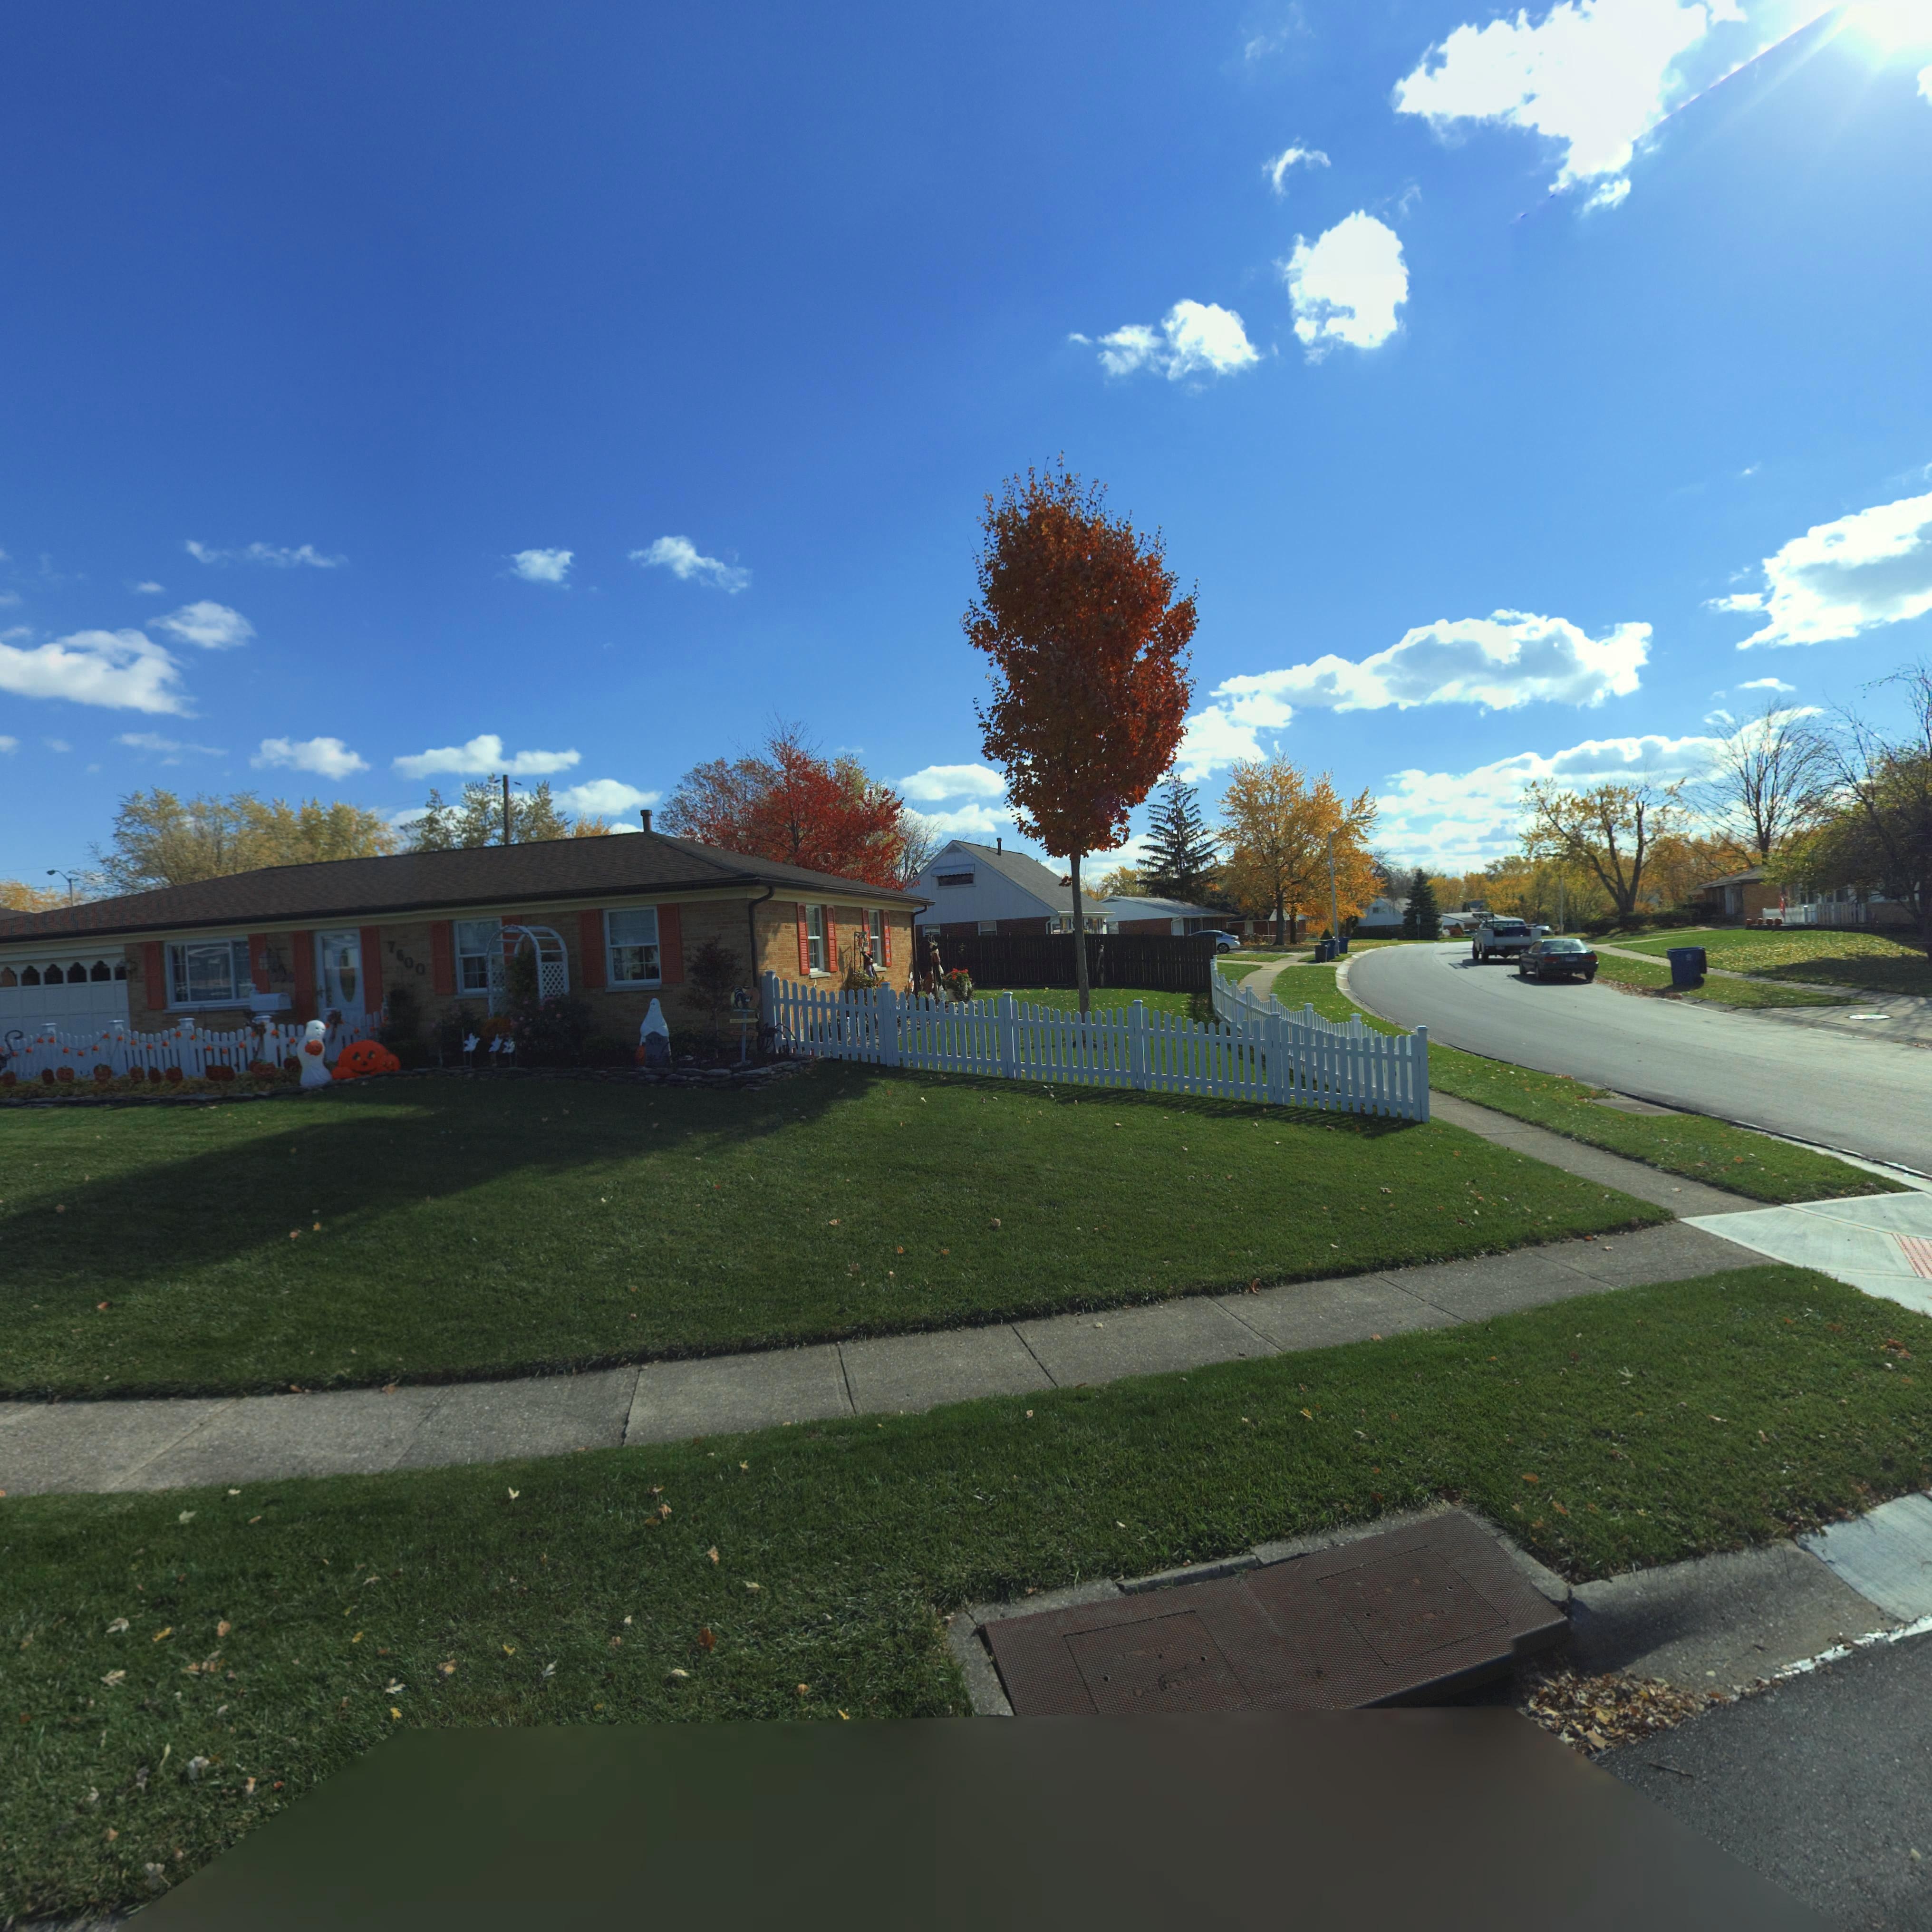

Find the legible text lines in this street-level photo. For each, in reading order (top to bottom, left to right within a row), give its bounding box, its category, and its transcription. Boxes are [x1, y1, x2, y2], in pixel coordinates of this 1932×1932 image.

[386, 941, 426, 977] StreetNumber: 7600